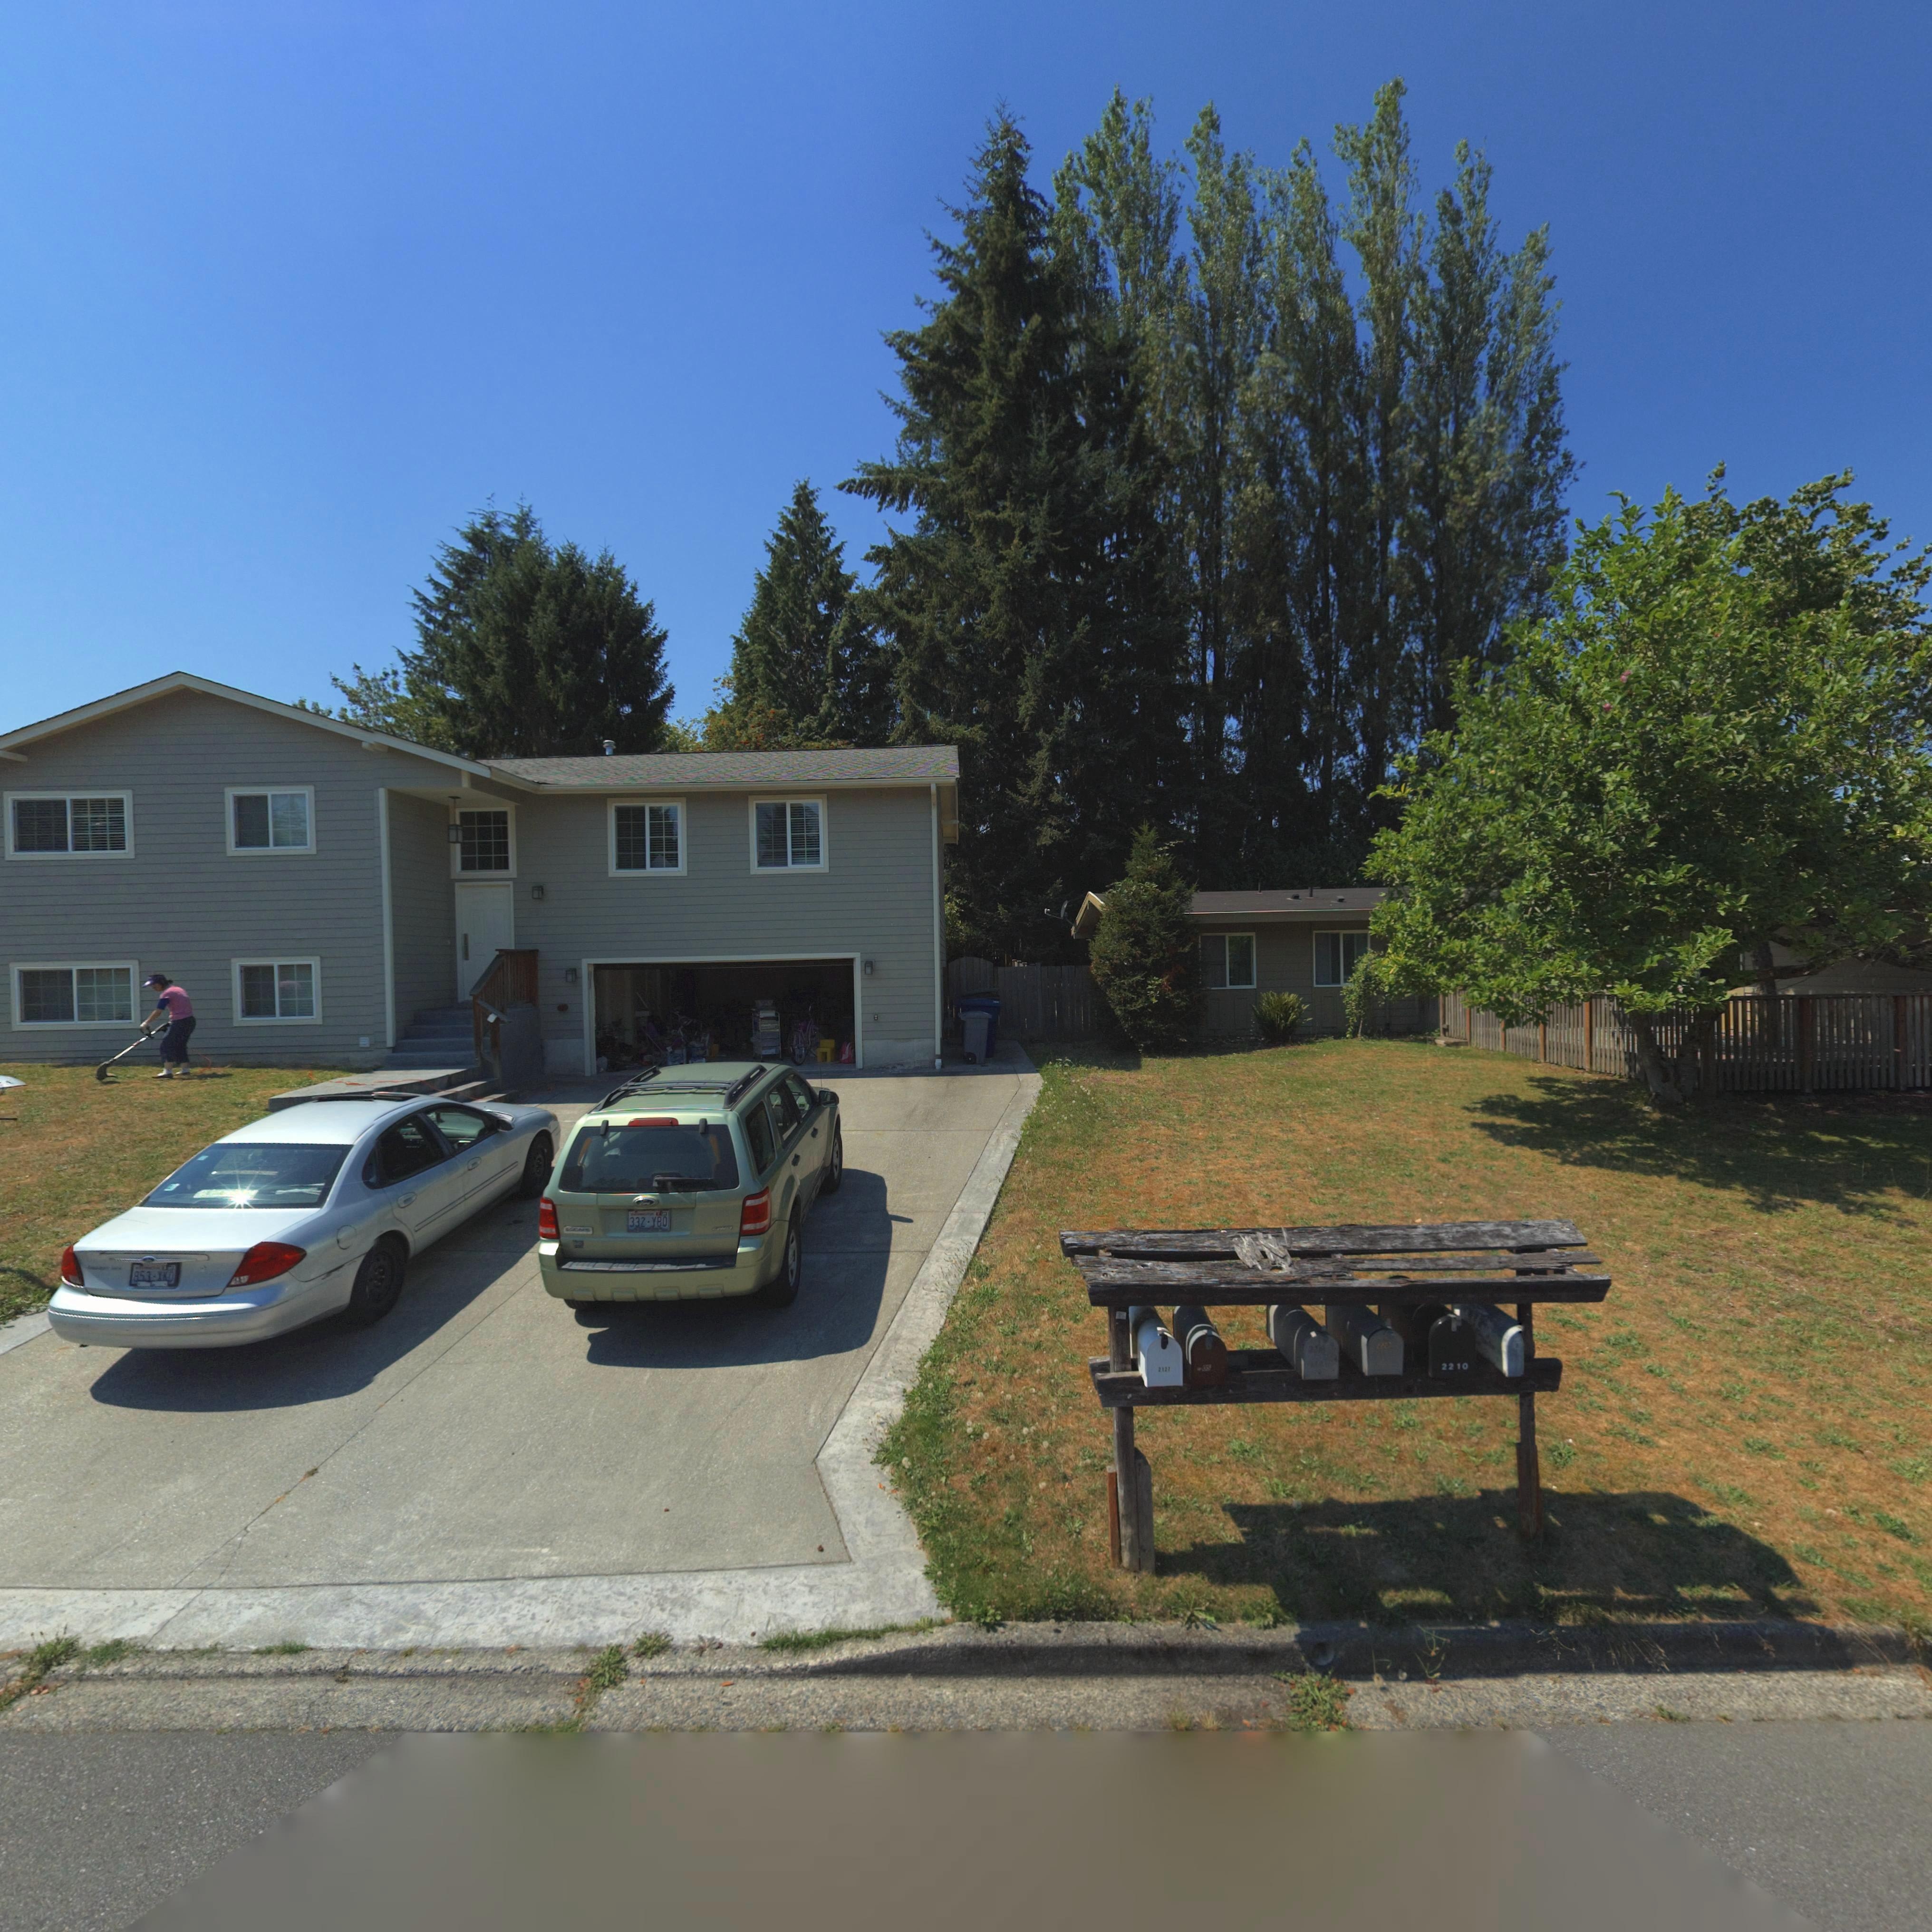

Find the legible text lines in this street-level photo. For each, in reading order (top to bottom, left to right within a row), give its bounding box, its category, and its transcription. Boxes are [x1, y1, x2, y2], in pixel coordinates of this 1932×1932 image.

[1157, 1366, 1170, 1372] StreetNumber: 2127
[1202, 1363, 1211, 1372] StreetNumber: 05
[1439, 1360, 1472, 1372] StreetNumber: 2210